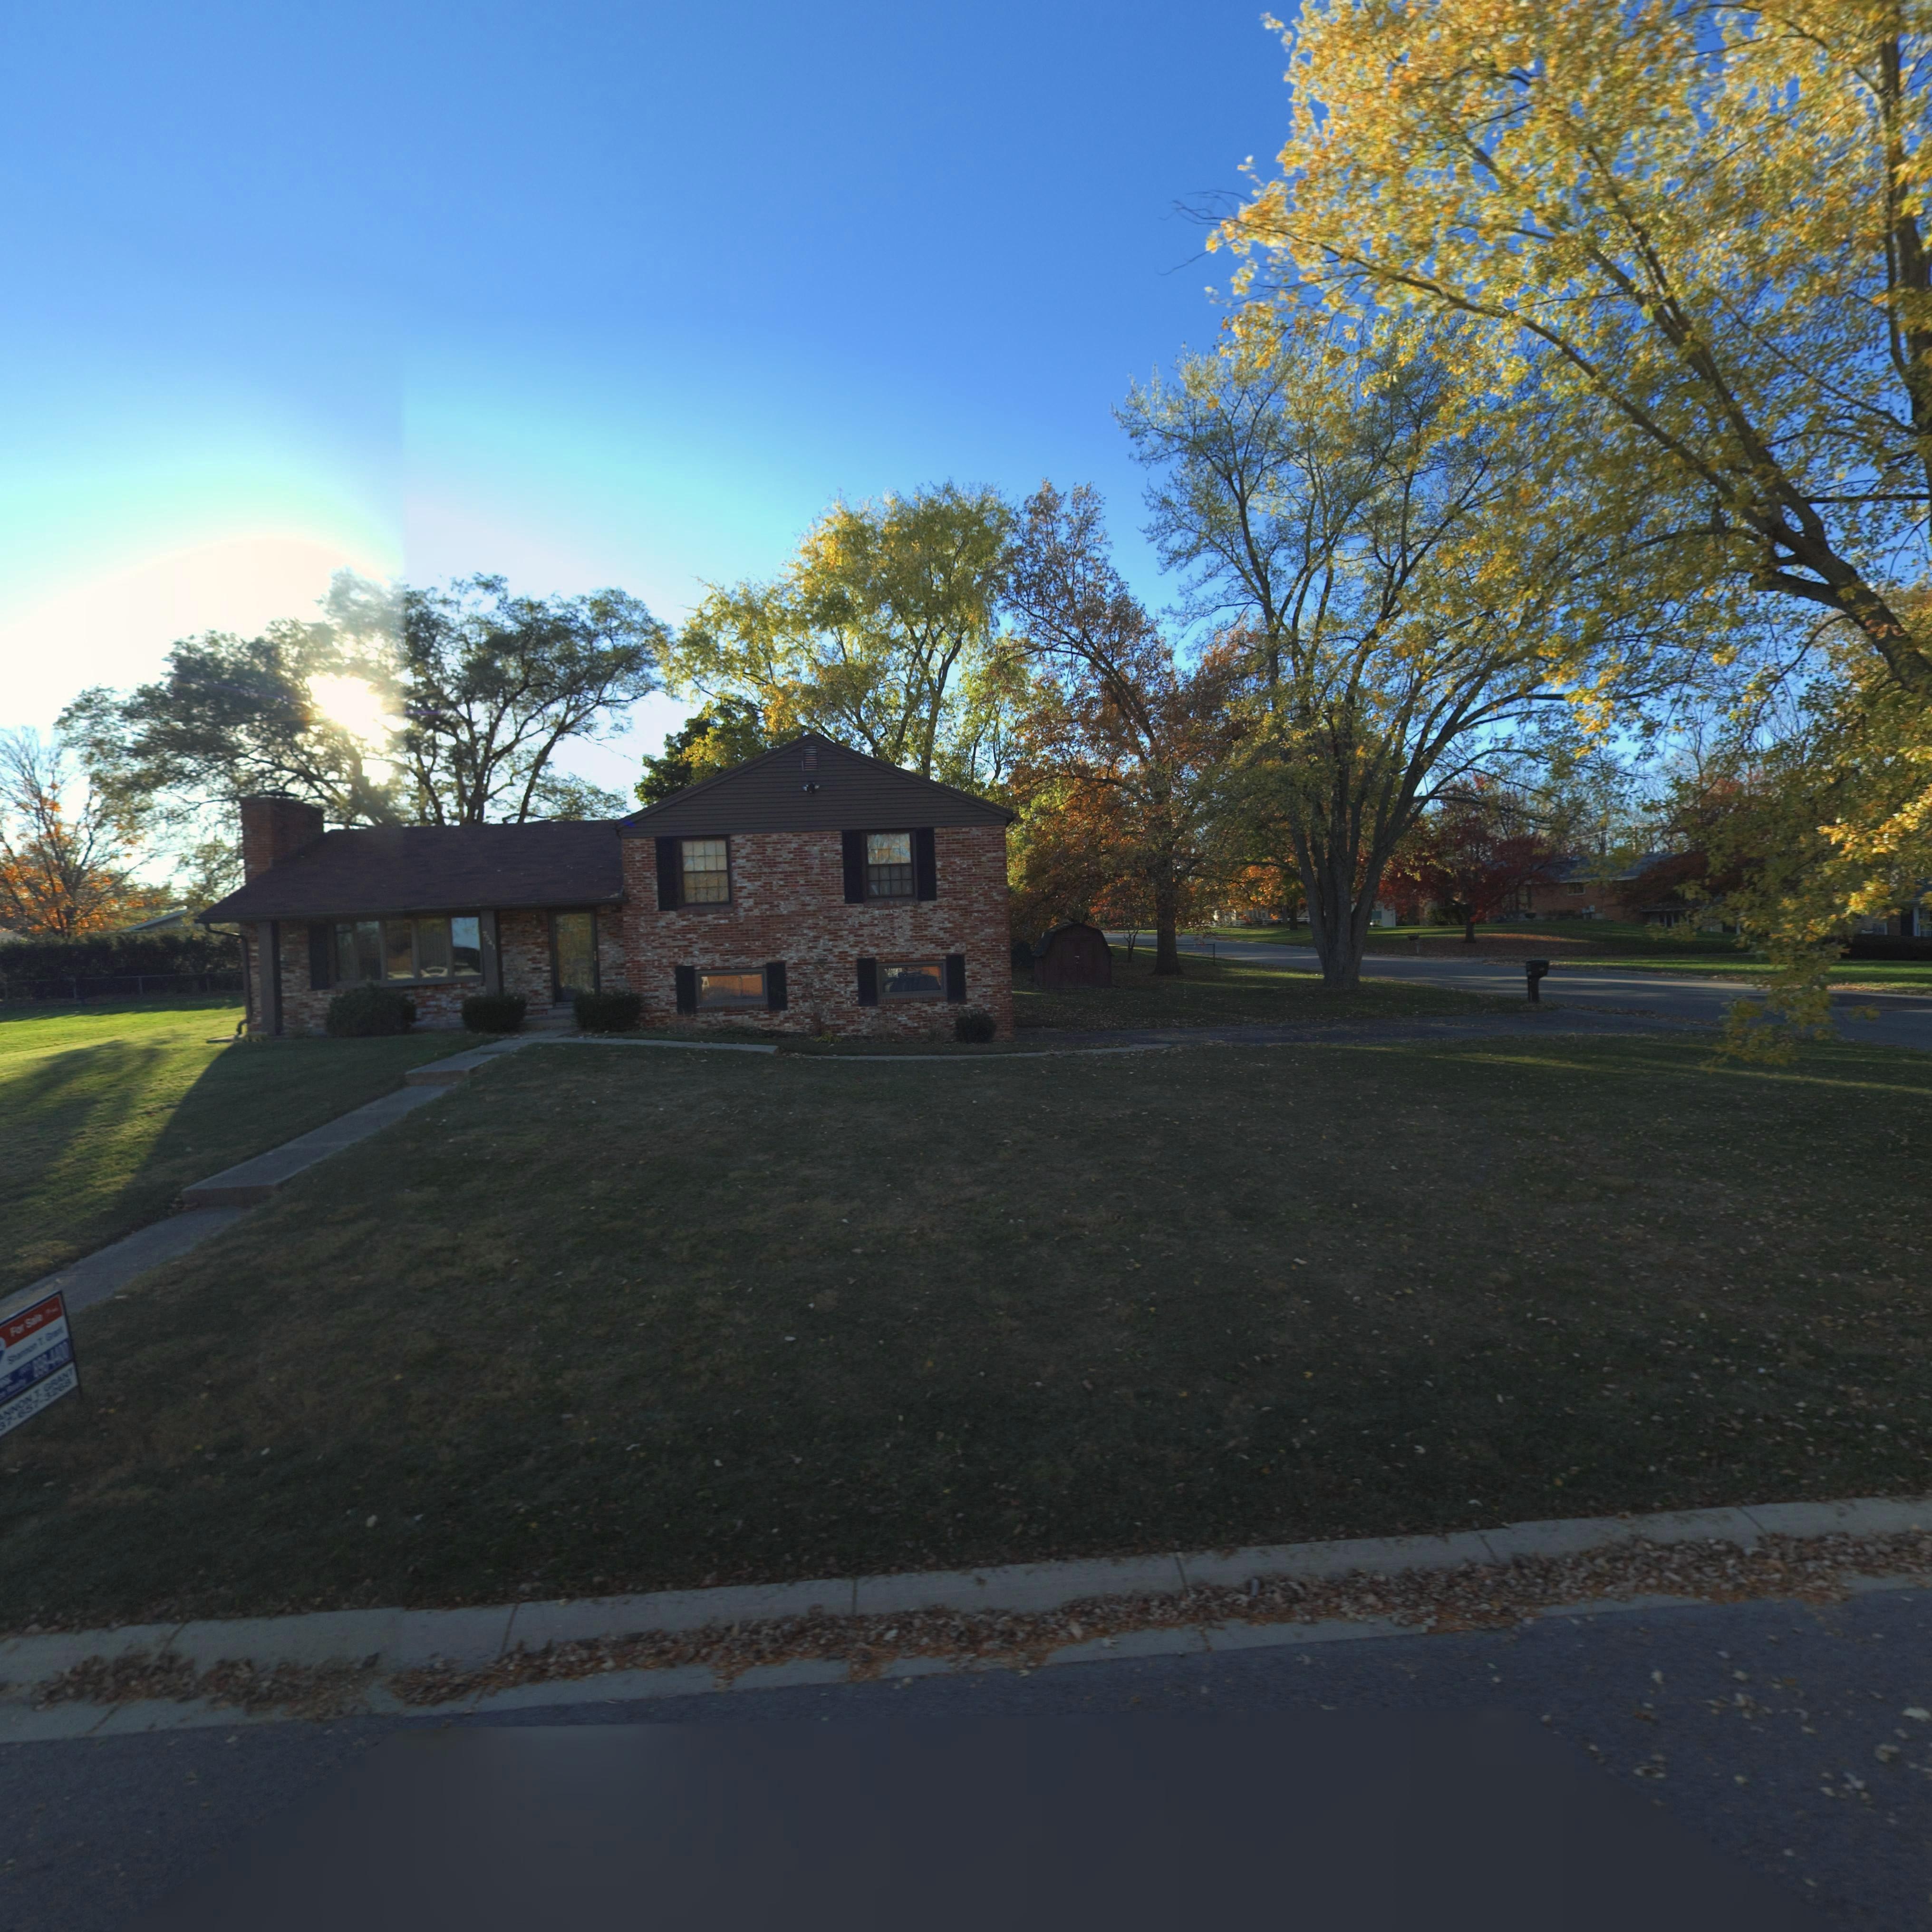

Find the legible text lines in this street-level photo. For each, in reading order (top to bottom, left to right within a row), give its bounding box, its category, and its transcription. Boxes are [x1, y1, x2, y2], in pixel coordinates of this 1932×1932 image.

[481, 929, 496, 951] StreetNumber: 7*41